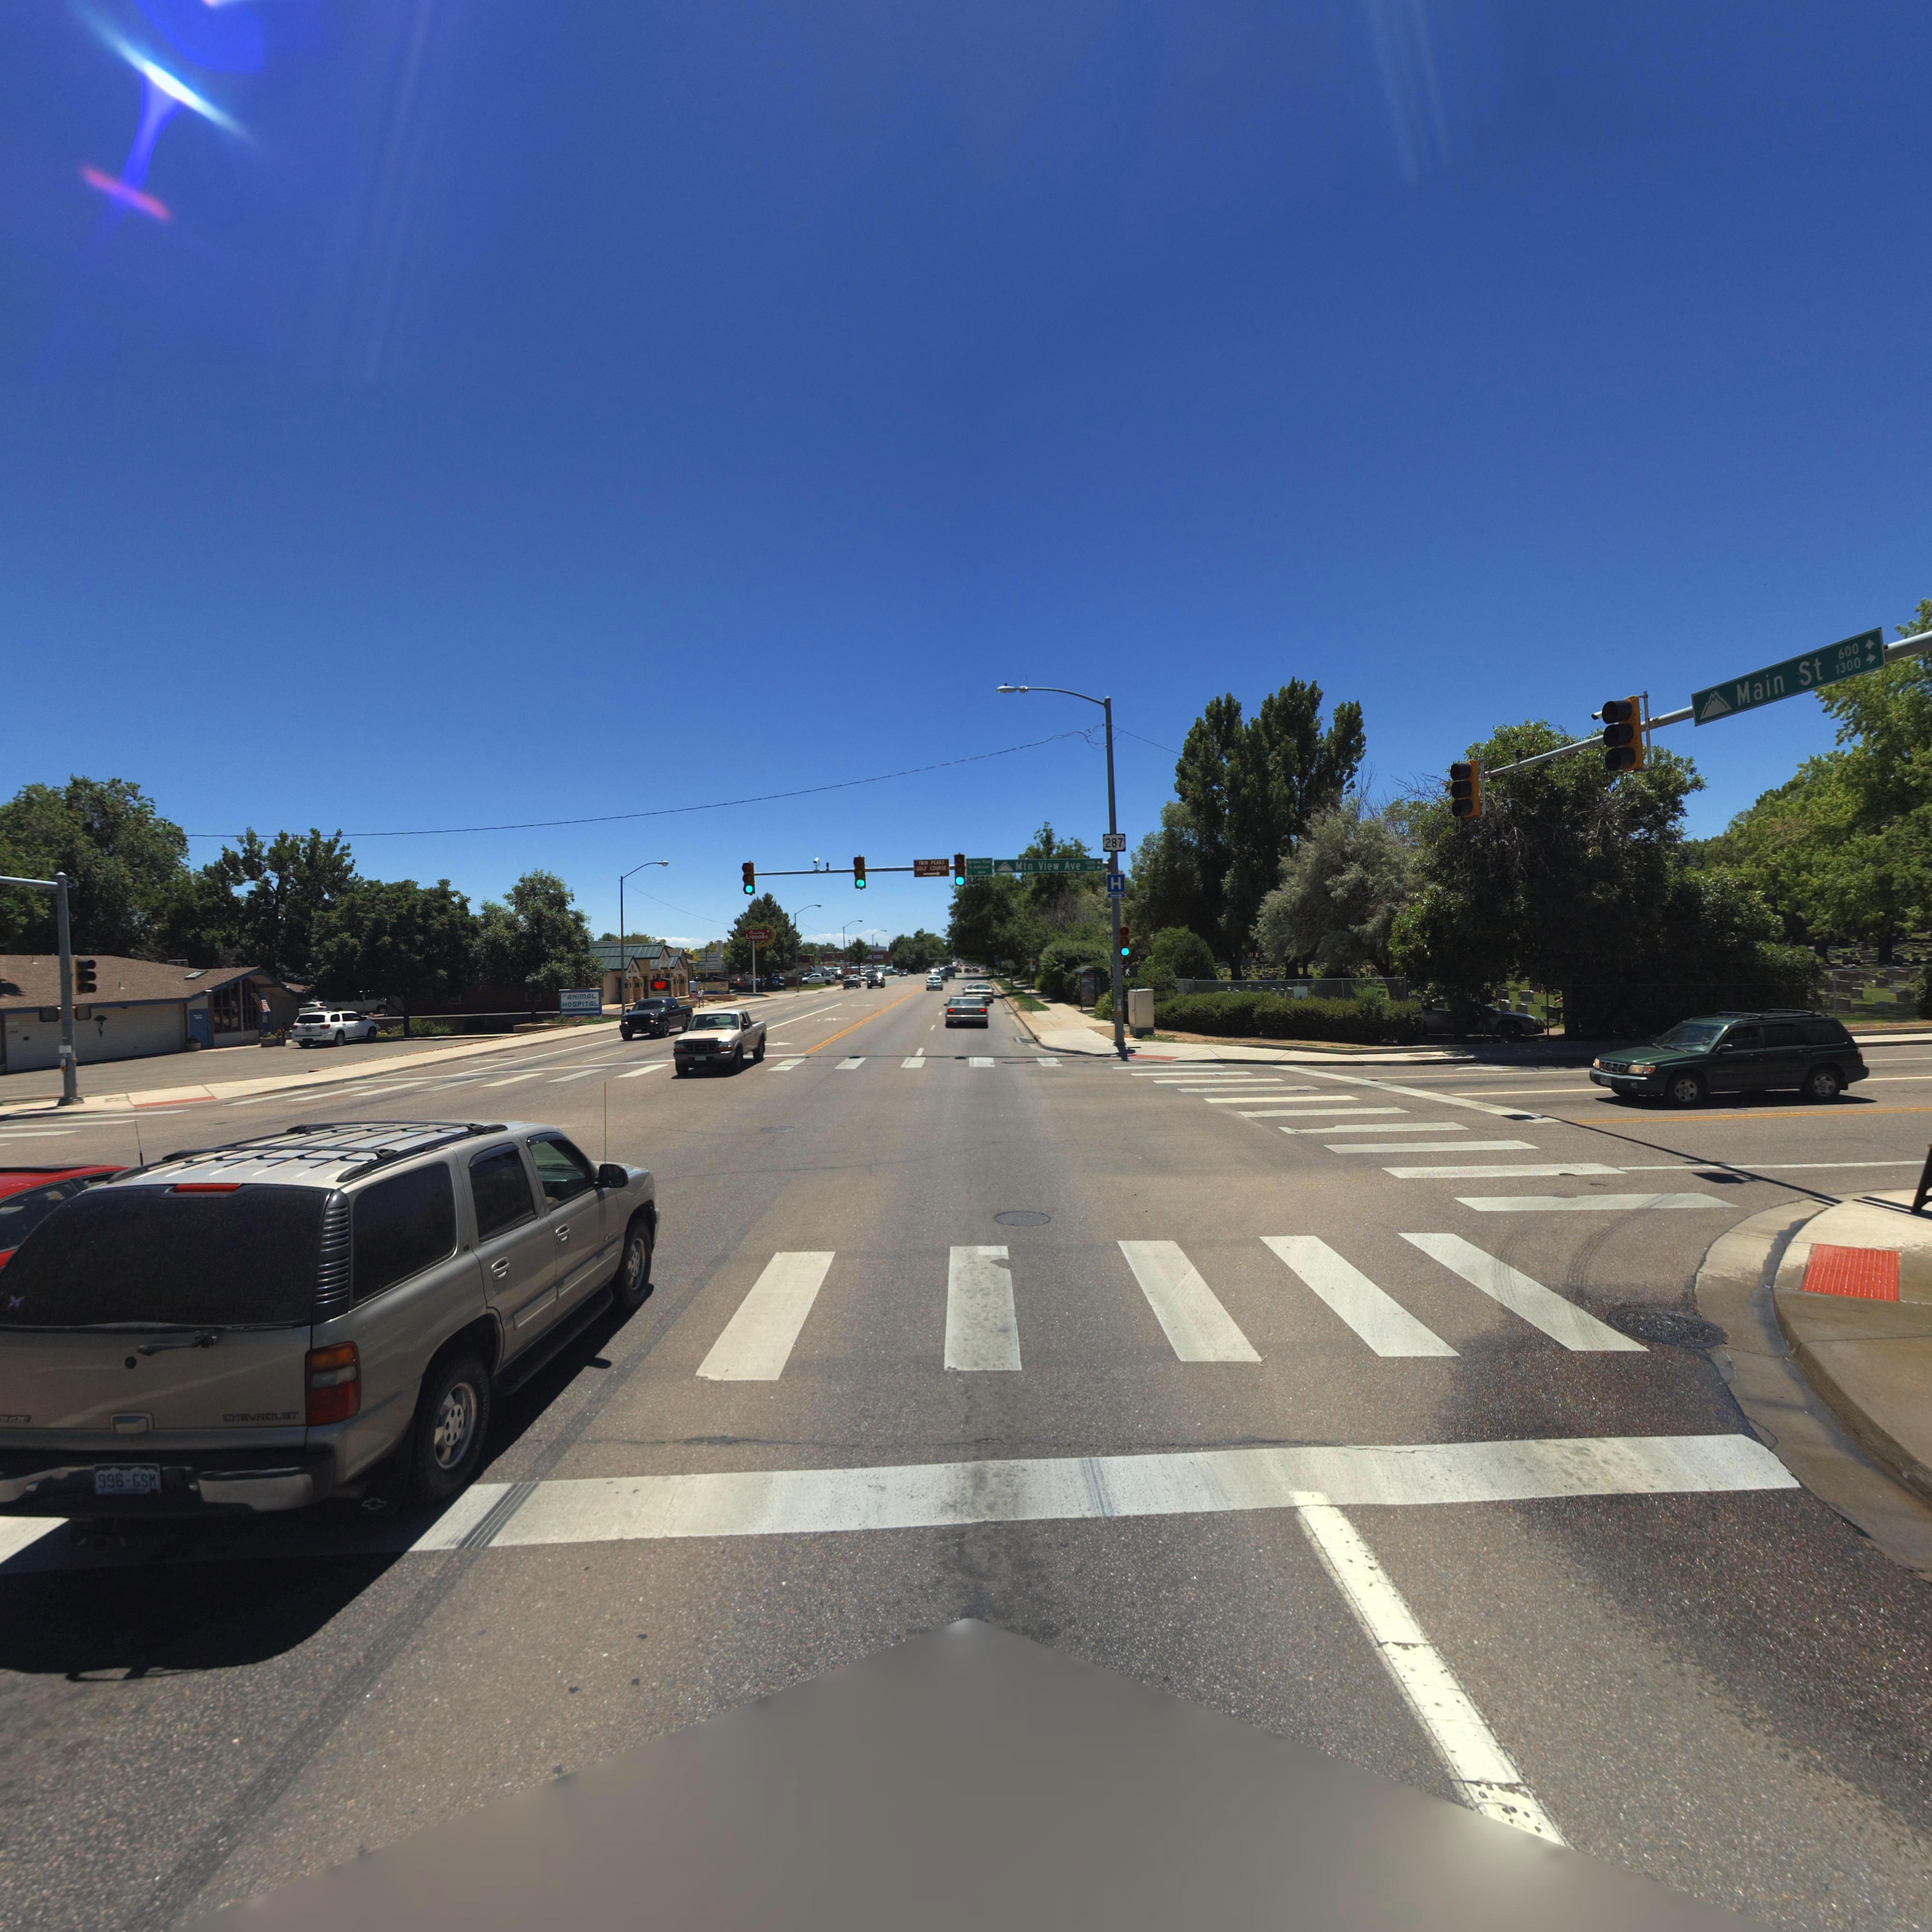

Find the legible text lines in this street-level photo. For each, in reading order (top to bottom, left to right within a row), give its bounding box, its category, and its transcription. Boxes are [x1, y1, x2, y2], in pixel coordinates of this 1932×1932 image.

[1838, 642, 1859, 660] StreetNumberRange: 600
[1835, 653, 1877, 675] StreetNumberRange: 1300->
[1736, 656, 1824, 706] StreetName: Main St
[1015, 860, 1081, 870] StreetName: Mtn View Ave
[1085, 860, 1095, 865] StreetNumberRange: 1200
[1087, 865, 1101, 869] StreetNumberRange: 600->
[567, 993, 596, 1000] BusinessName: ANIMAL
[562, 1000, 599, 1007] BusinessName: HOSPITAL